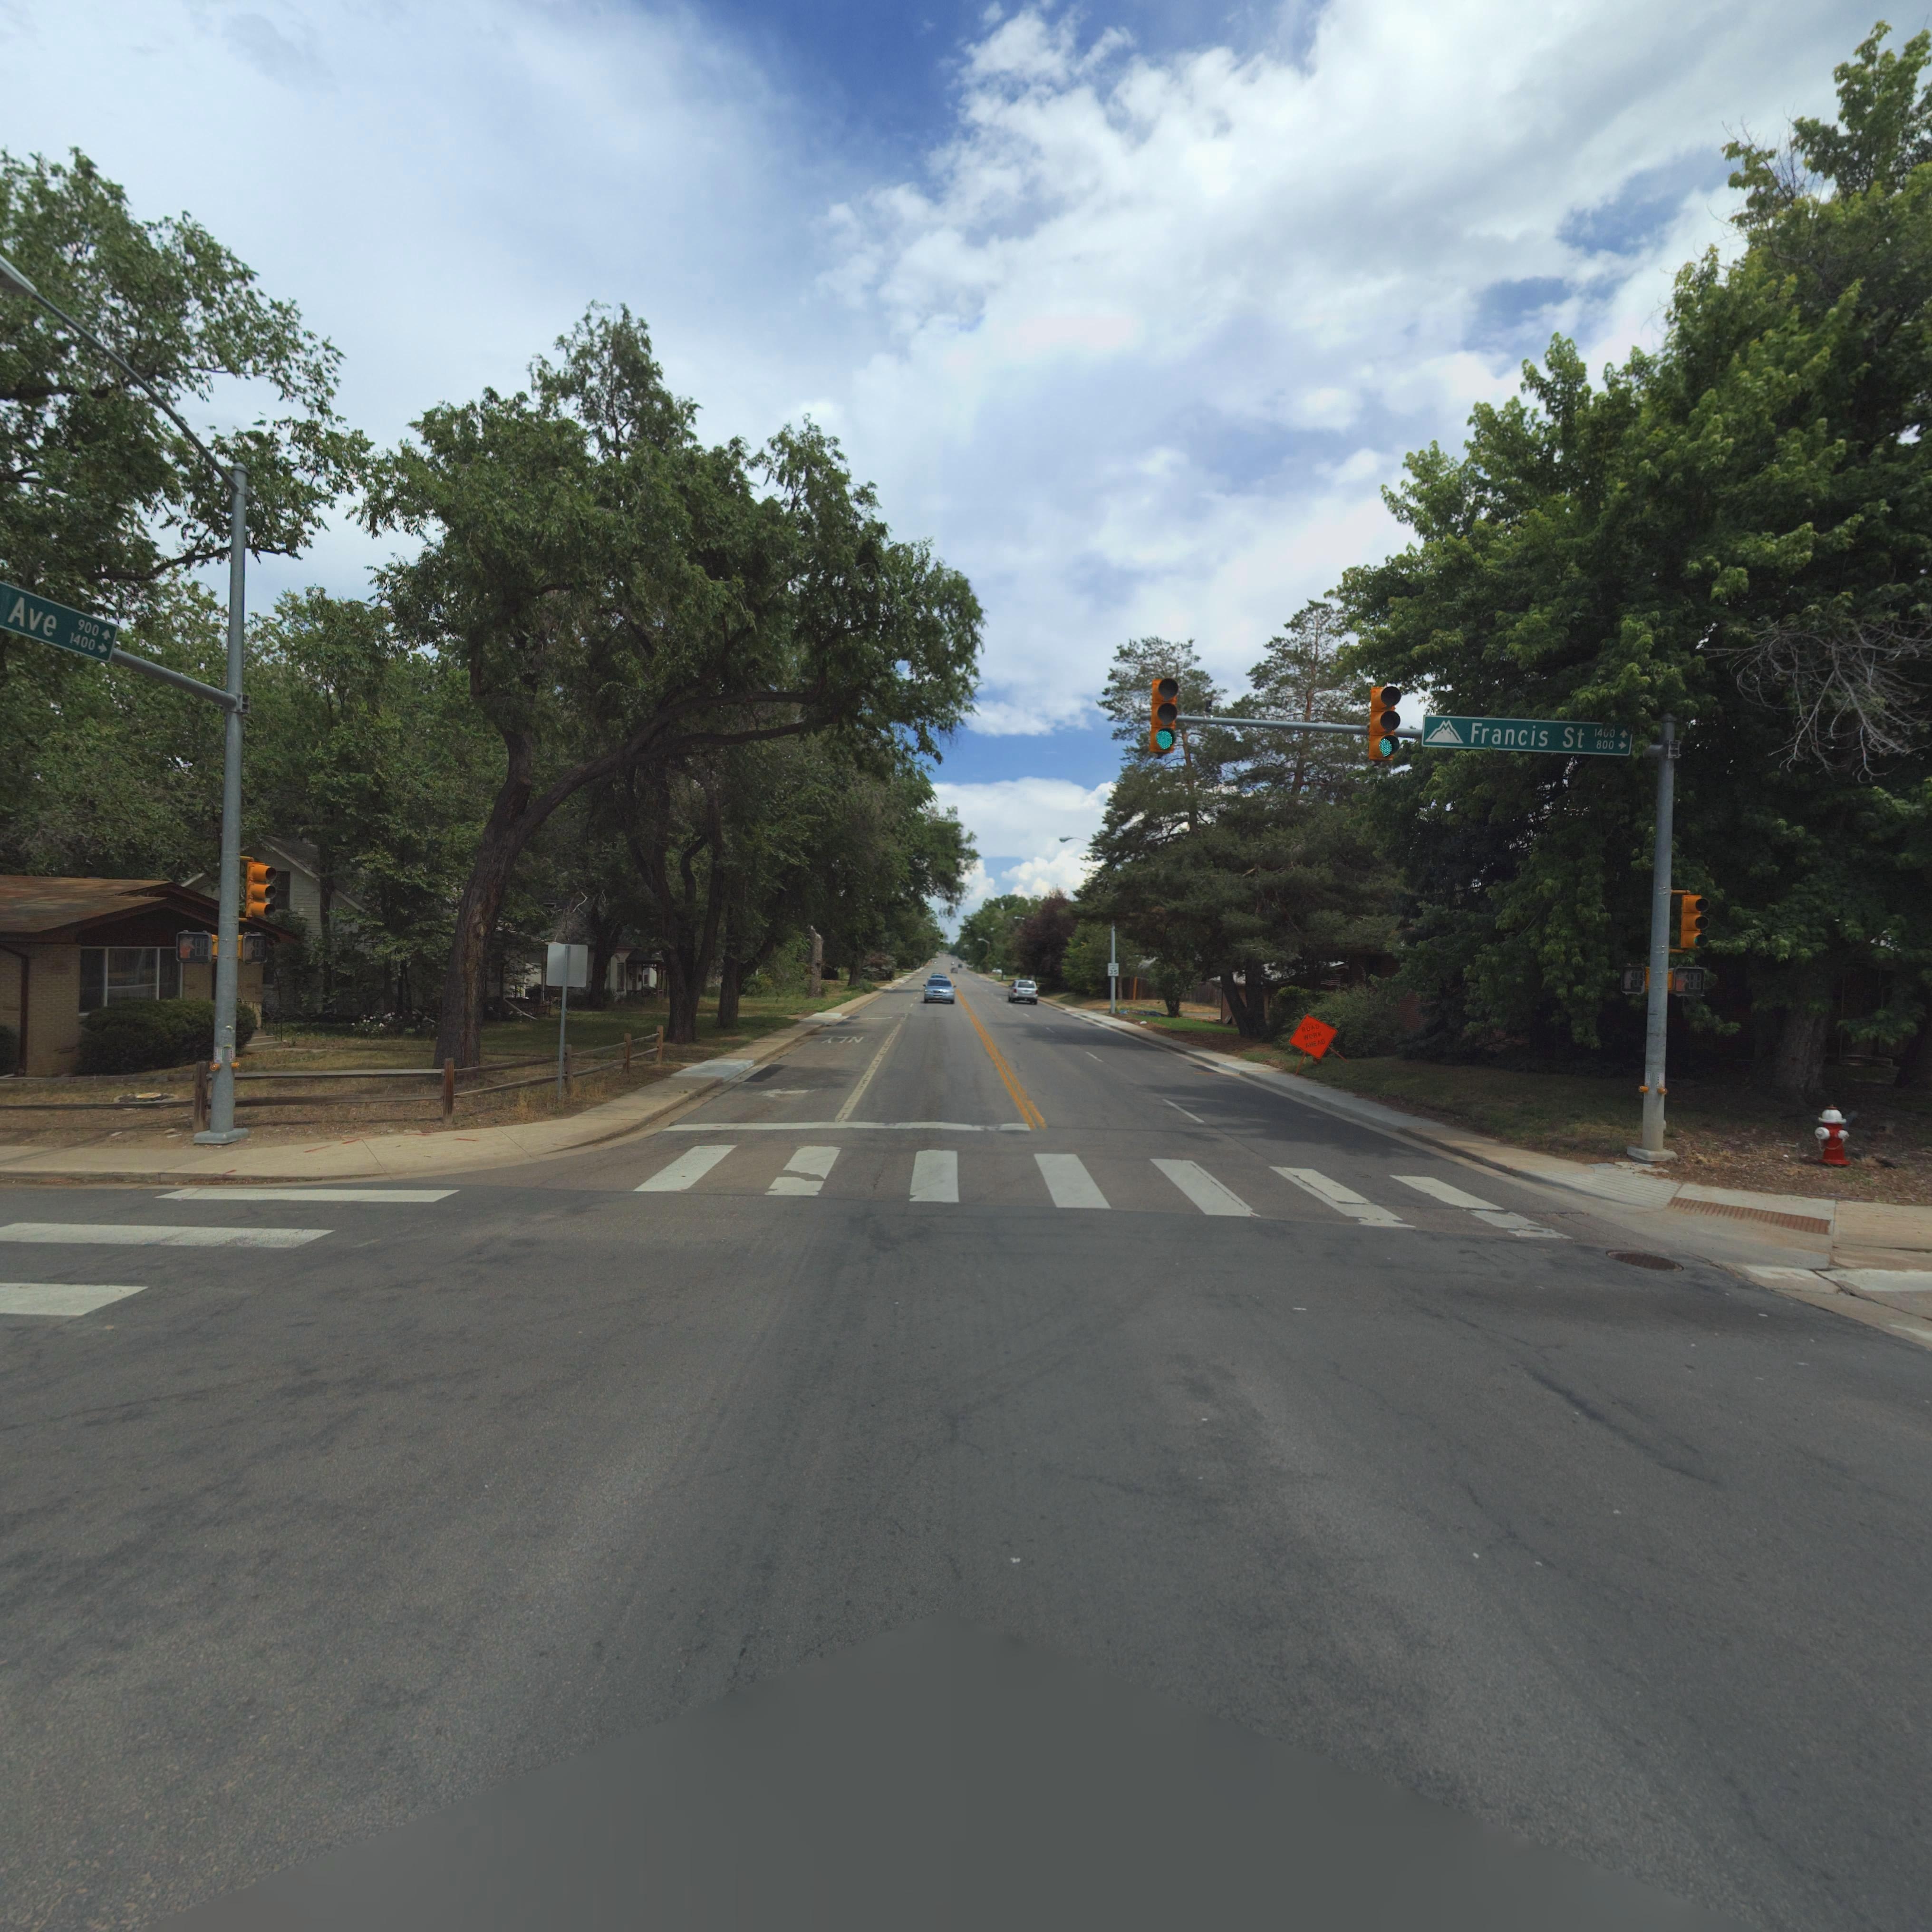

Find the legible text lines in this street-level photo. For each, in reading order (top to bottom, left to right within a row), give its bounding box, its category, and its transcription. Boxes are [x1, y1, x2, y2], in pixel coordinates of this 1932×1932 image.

[7, 596, 57, 637] StreetName: Ave
[77, 618, 99, 636] StreetNumberRange: 900
[69, 631, 108, 653] StreetNumberRange: 1400->
[1470, 722, 1584, 749] StreetName: Francis St
[1594, 728, 1614, 738] StreetNumberRange: 14*0
[1595, 739, 1627, 750] StreetNumberRange: 800->